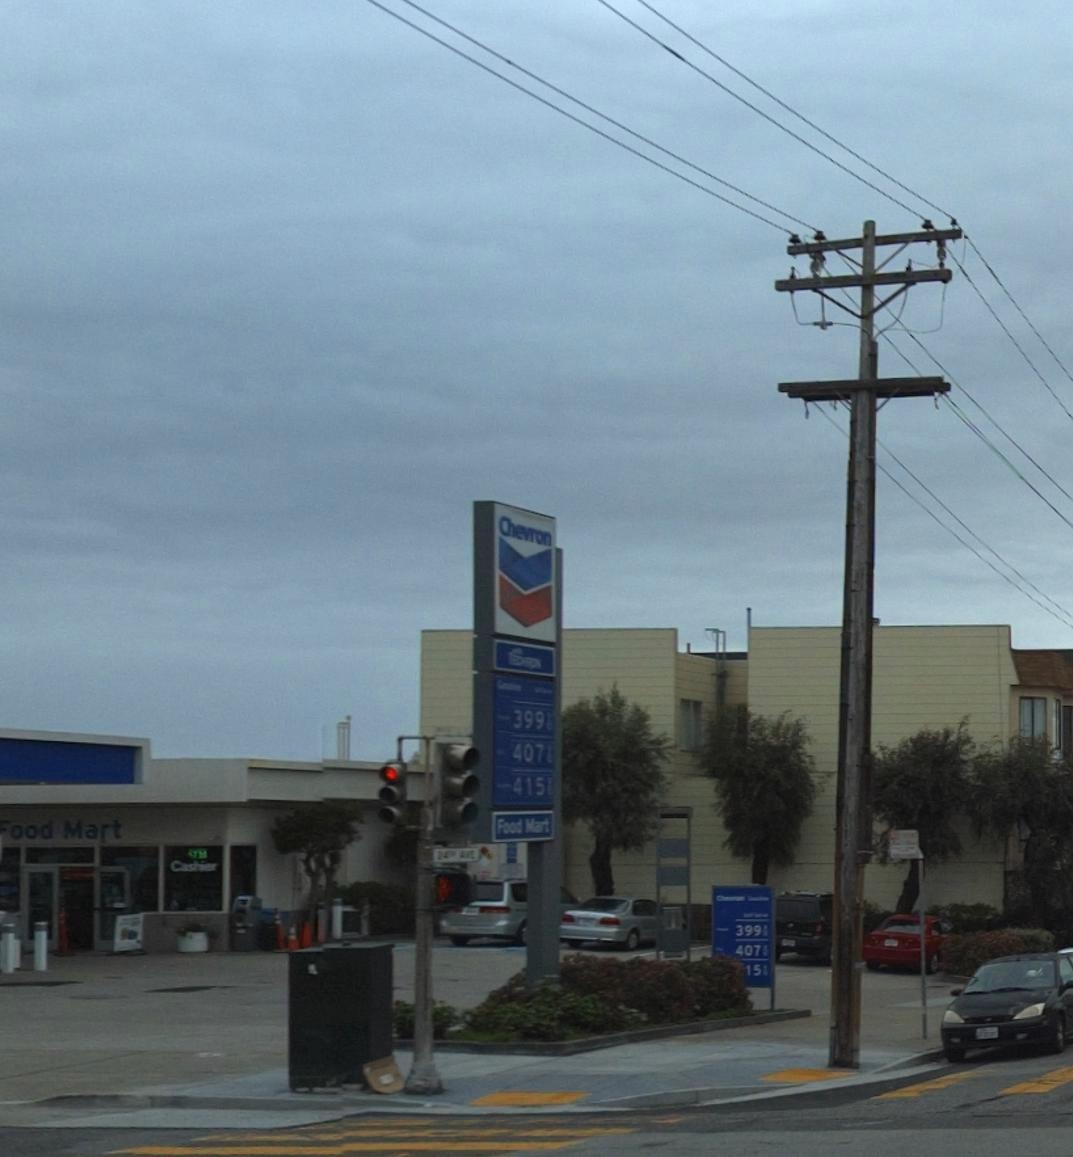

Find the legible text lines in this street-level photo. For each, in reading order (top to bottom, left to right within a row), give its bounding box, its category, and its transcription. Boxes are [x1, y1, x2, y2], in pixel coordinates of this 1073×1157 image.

[497, 513, 553, 550] BusinessName: Chevron
[511, 707, 547, 731] None: 399
[509, 741, 546, 765] None: 407
[510, 774, 548, 799] None: 415
[7, 816, 126, 843] BusinessName: ood Mart
[495, 815, 552, 837] BusinessName: Food Mart
[168, 856, 222, 876] None: Ca*****
[734, 921, 765, 939] None: 399
[732, 942, 763, 958] None: 407
[745, 961, 763, 979] None: 15